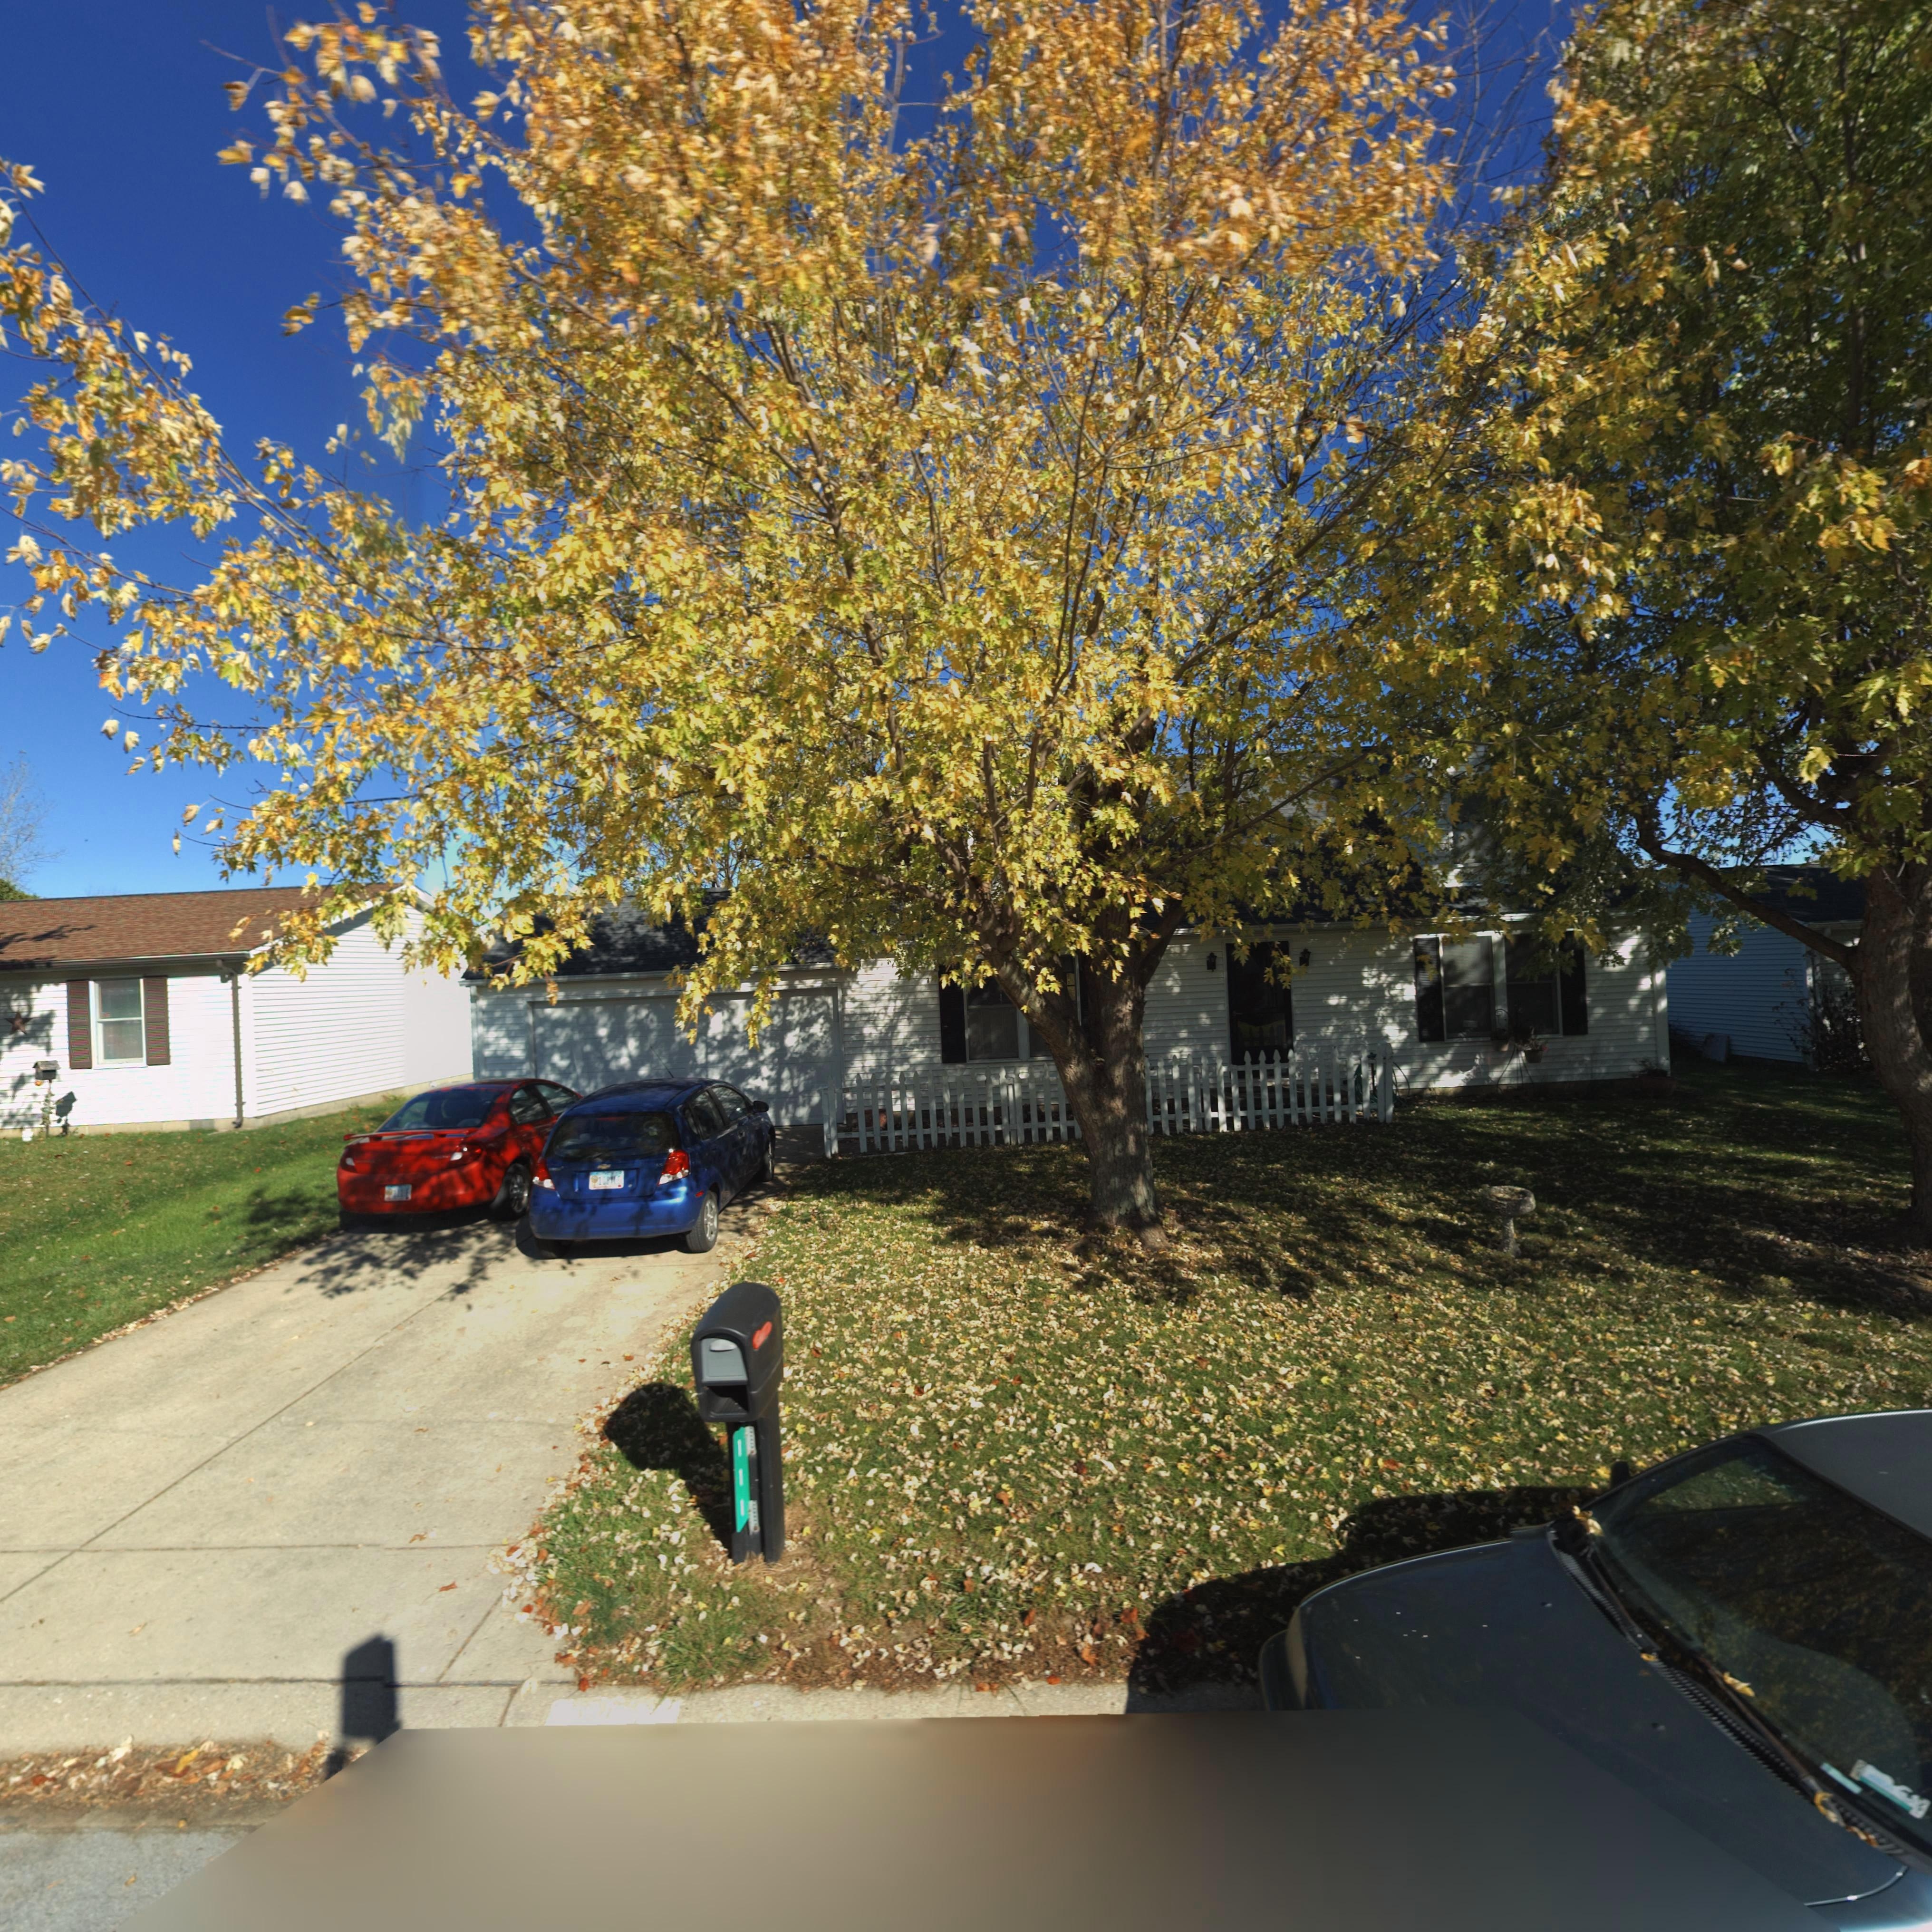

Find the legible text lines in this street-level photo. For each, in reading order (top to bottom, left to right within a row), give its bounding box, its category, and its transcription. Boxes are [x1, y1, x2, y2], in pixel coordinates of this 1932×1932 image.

[735, 1438, 746, 1517] StreetNumber: 111